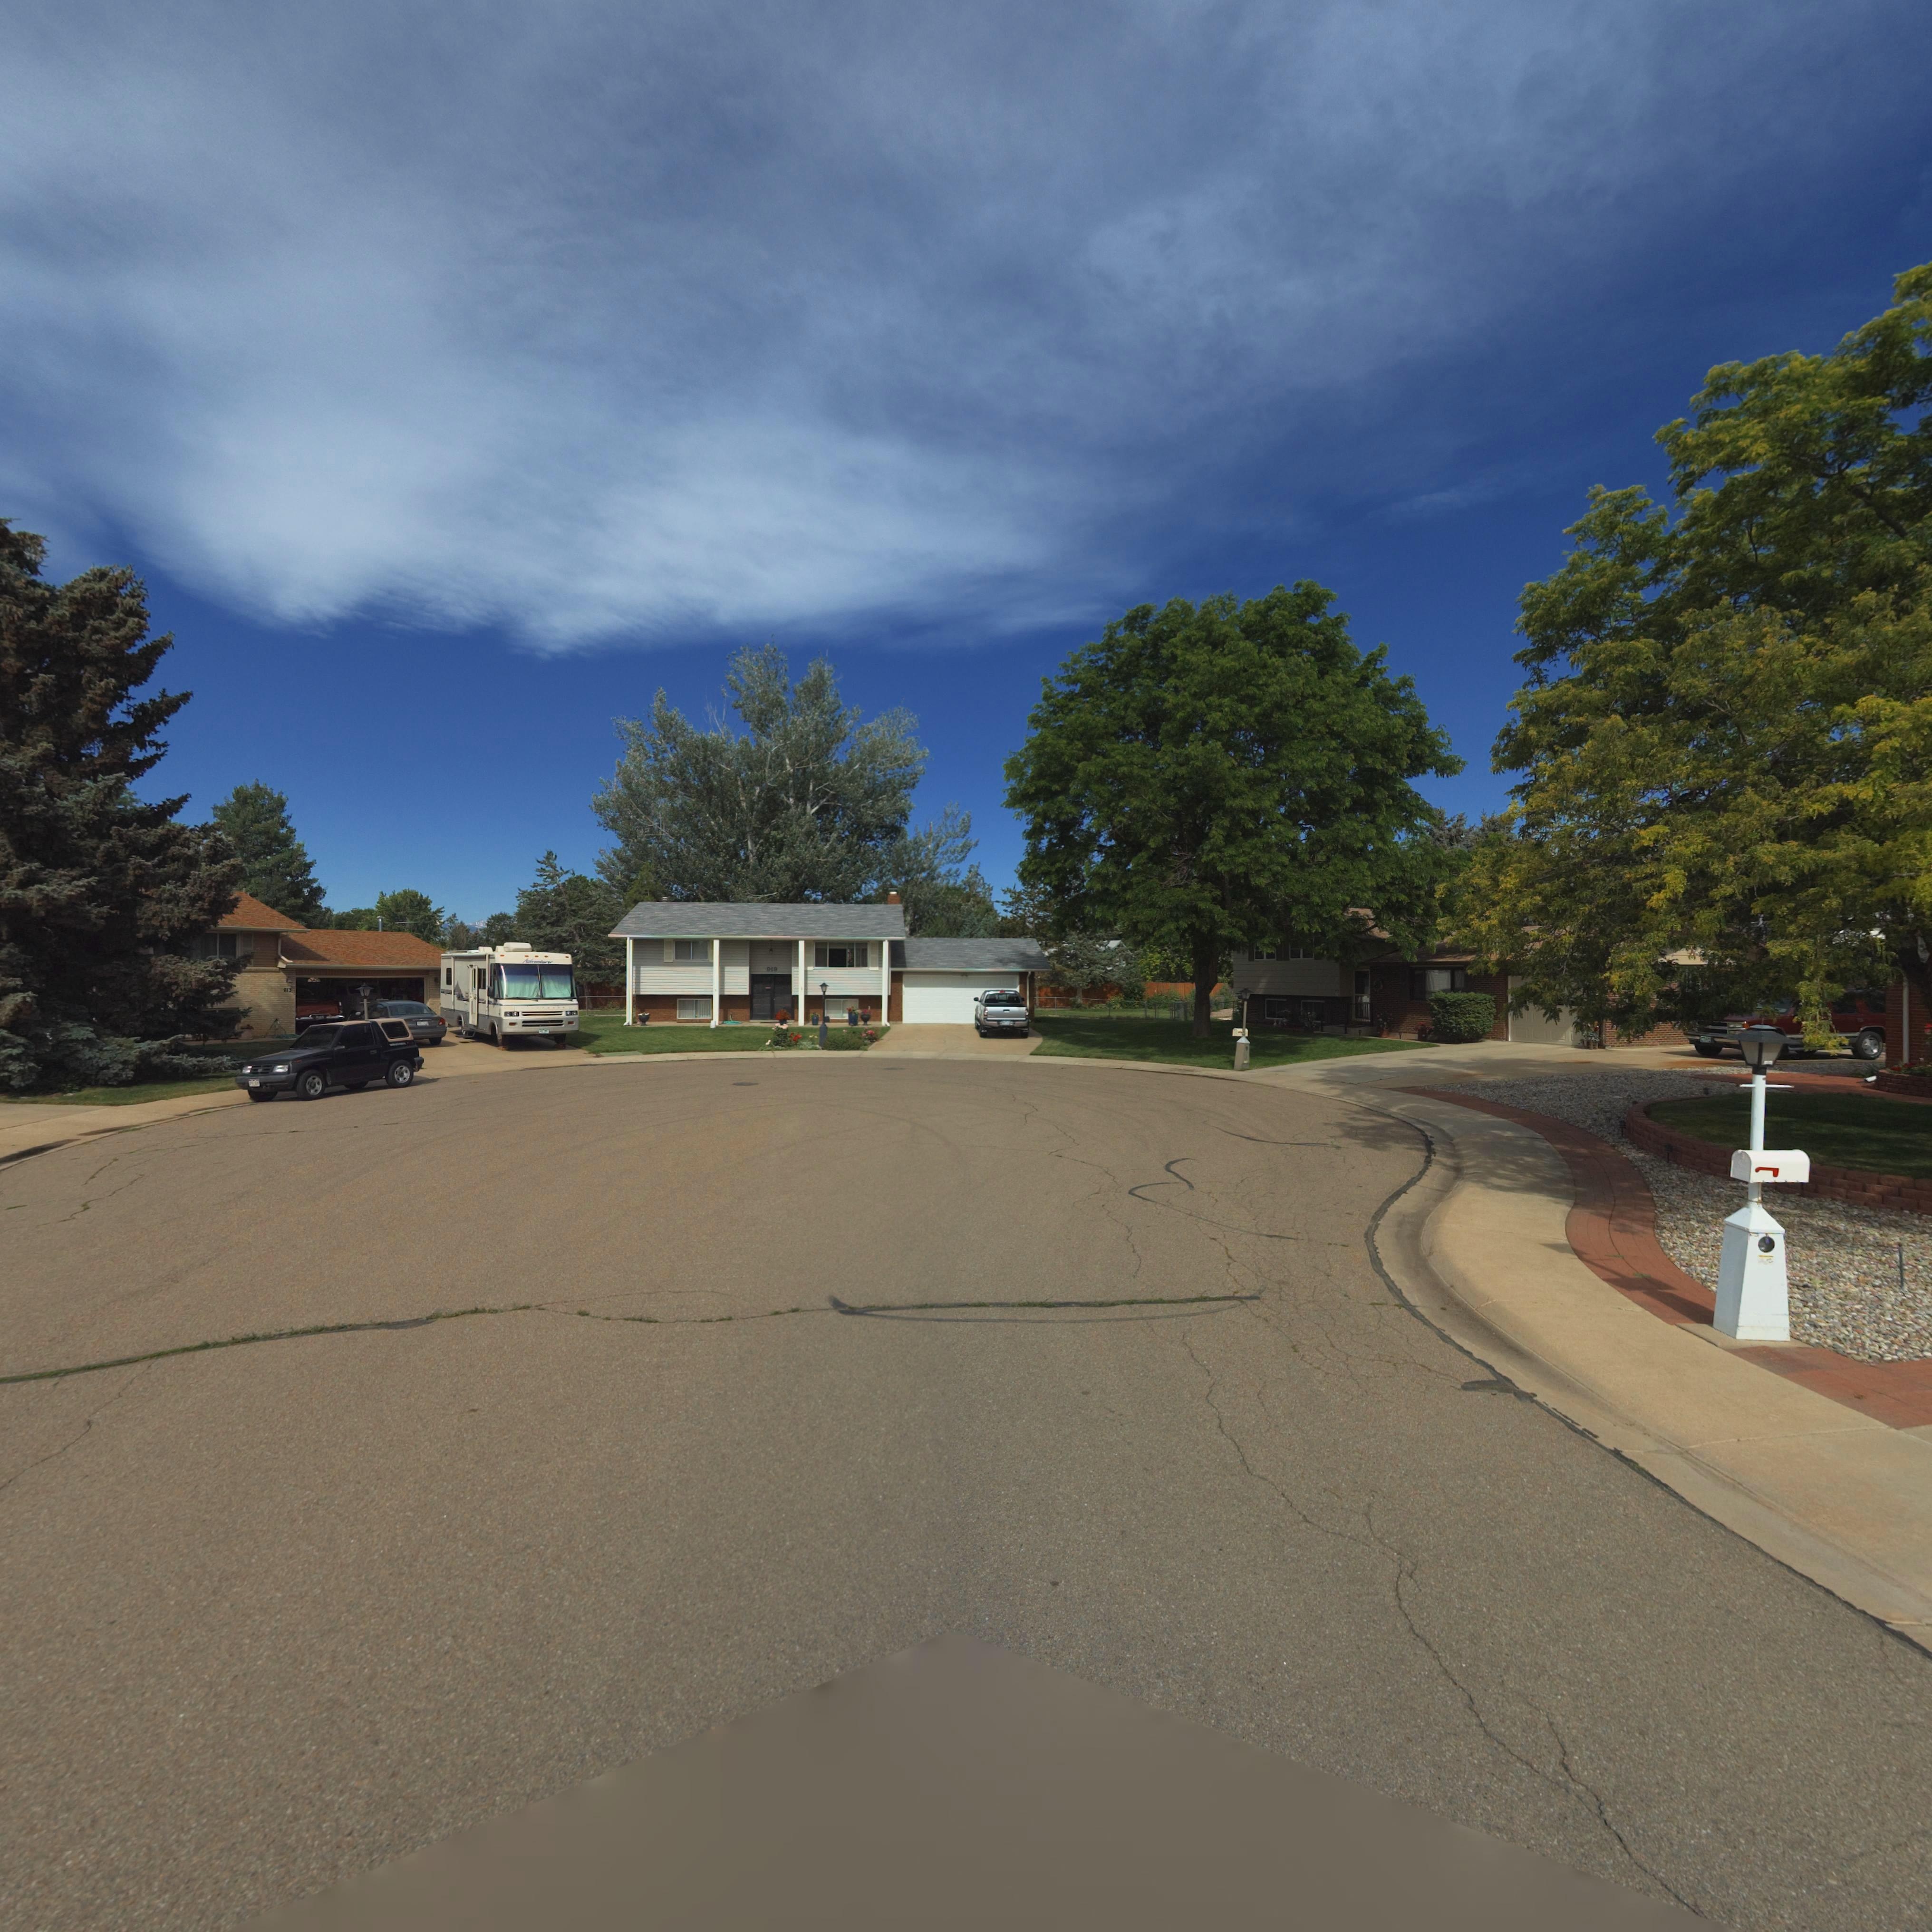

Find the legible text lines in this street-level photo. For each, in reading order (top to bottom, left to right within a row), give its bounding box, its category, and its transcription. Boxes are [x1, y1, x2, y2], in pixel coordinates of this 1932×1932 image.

[766, 966, 777, 971] StreetNumber: 919
[283, 987, 291, 992] StreetNumber: 813